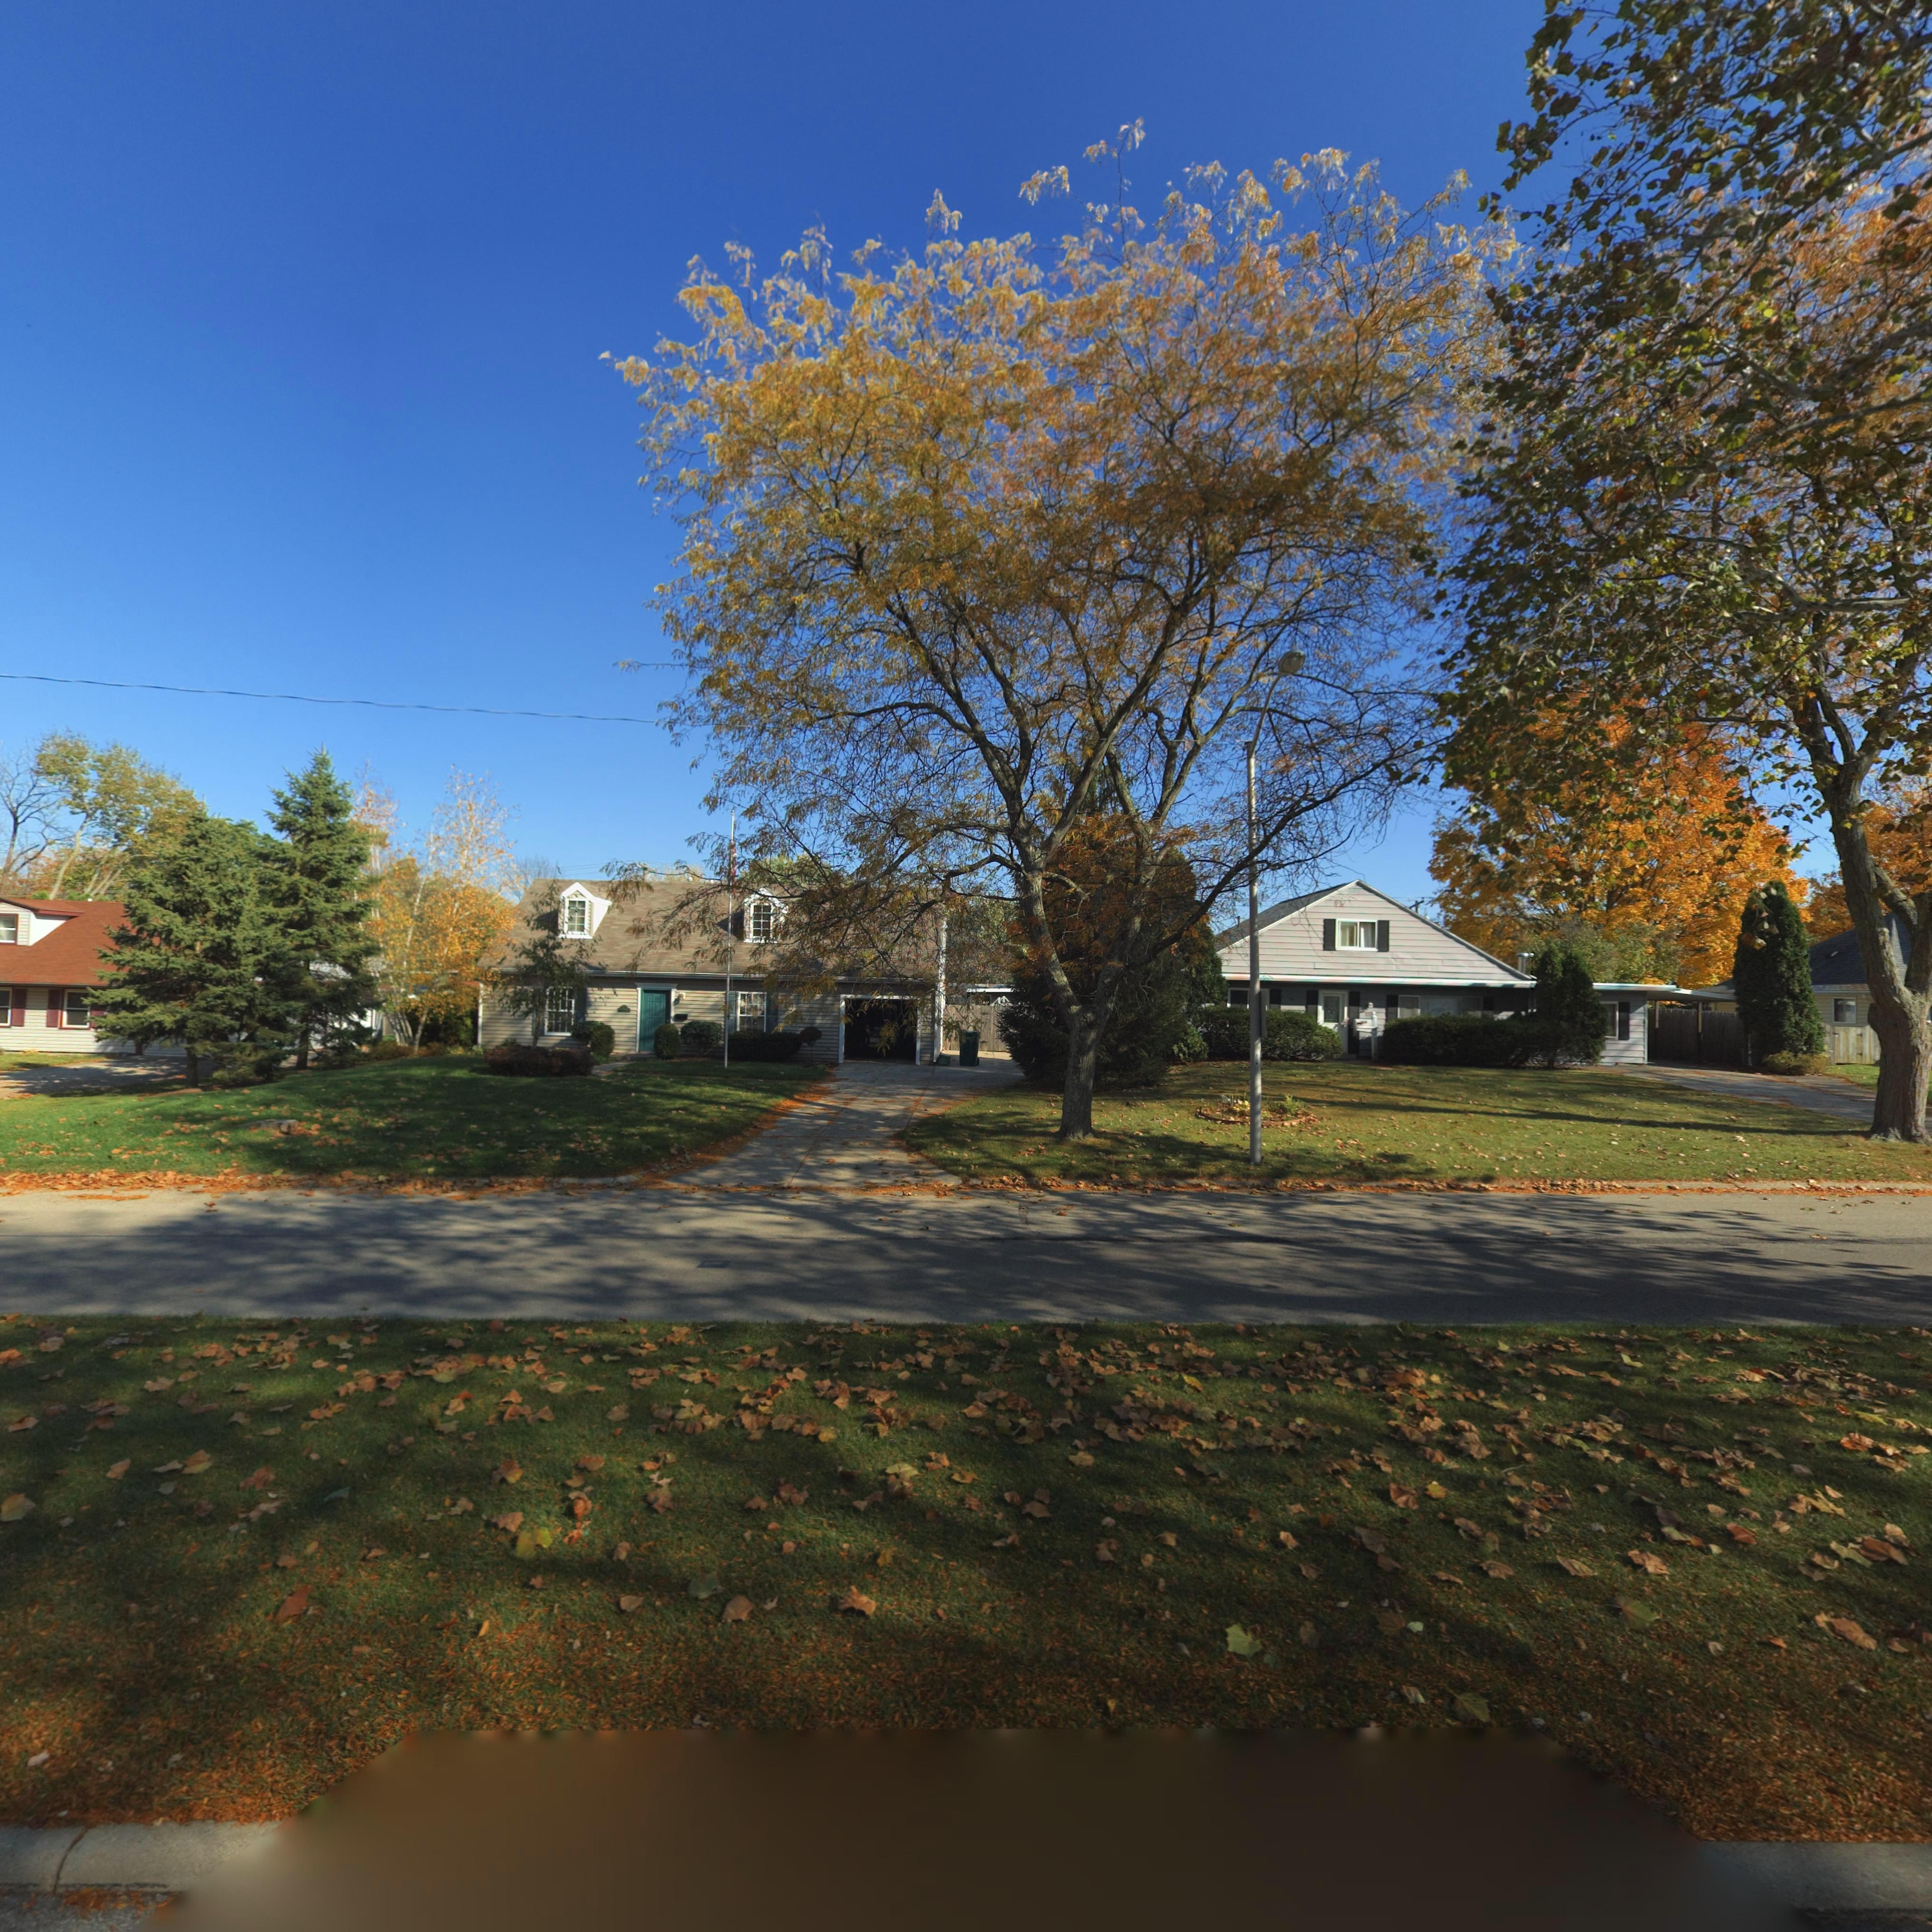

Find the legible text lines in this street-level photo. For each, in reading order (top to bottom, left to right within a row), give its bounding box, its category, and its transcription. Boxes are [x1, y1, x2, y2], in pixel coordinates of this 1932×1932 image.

[1363, 1012, 1372, 1017] StreetNumber: 3***